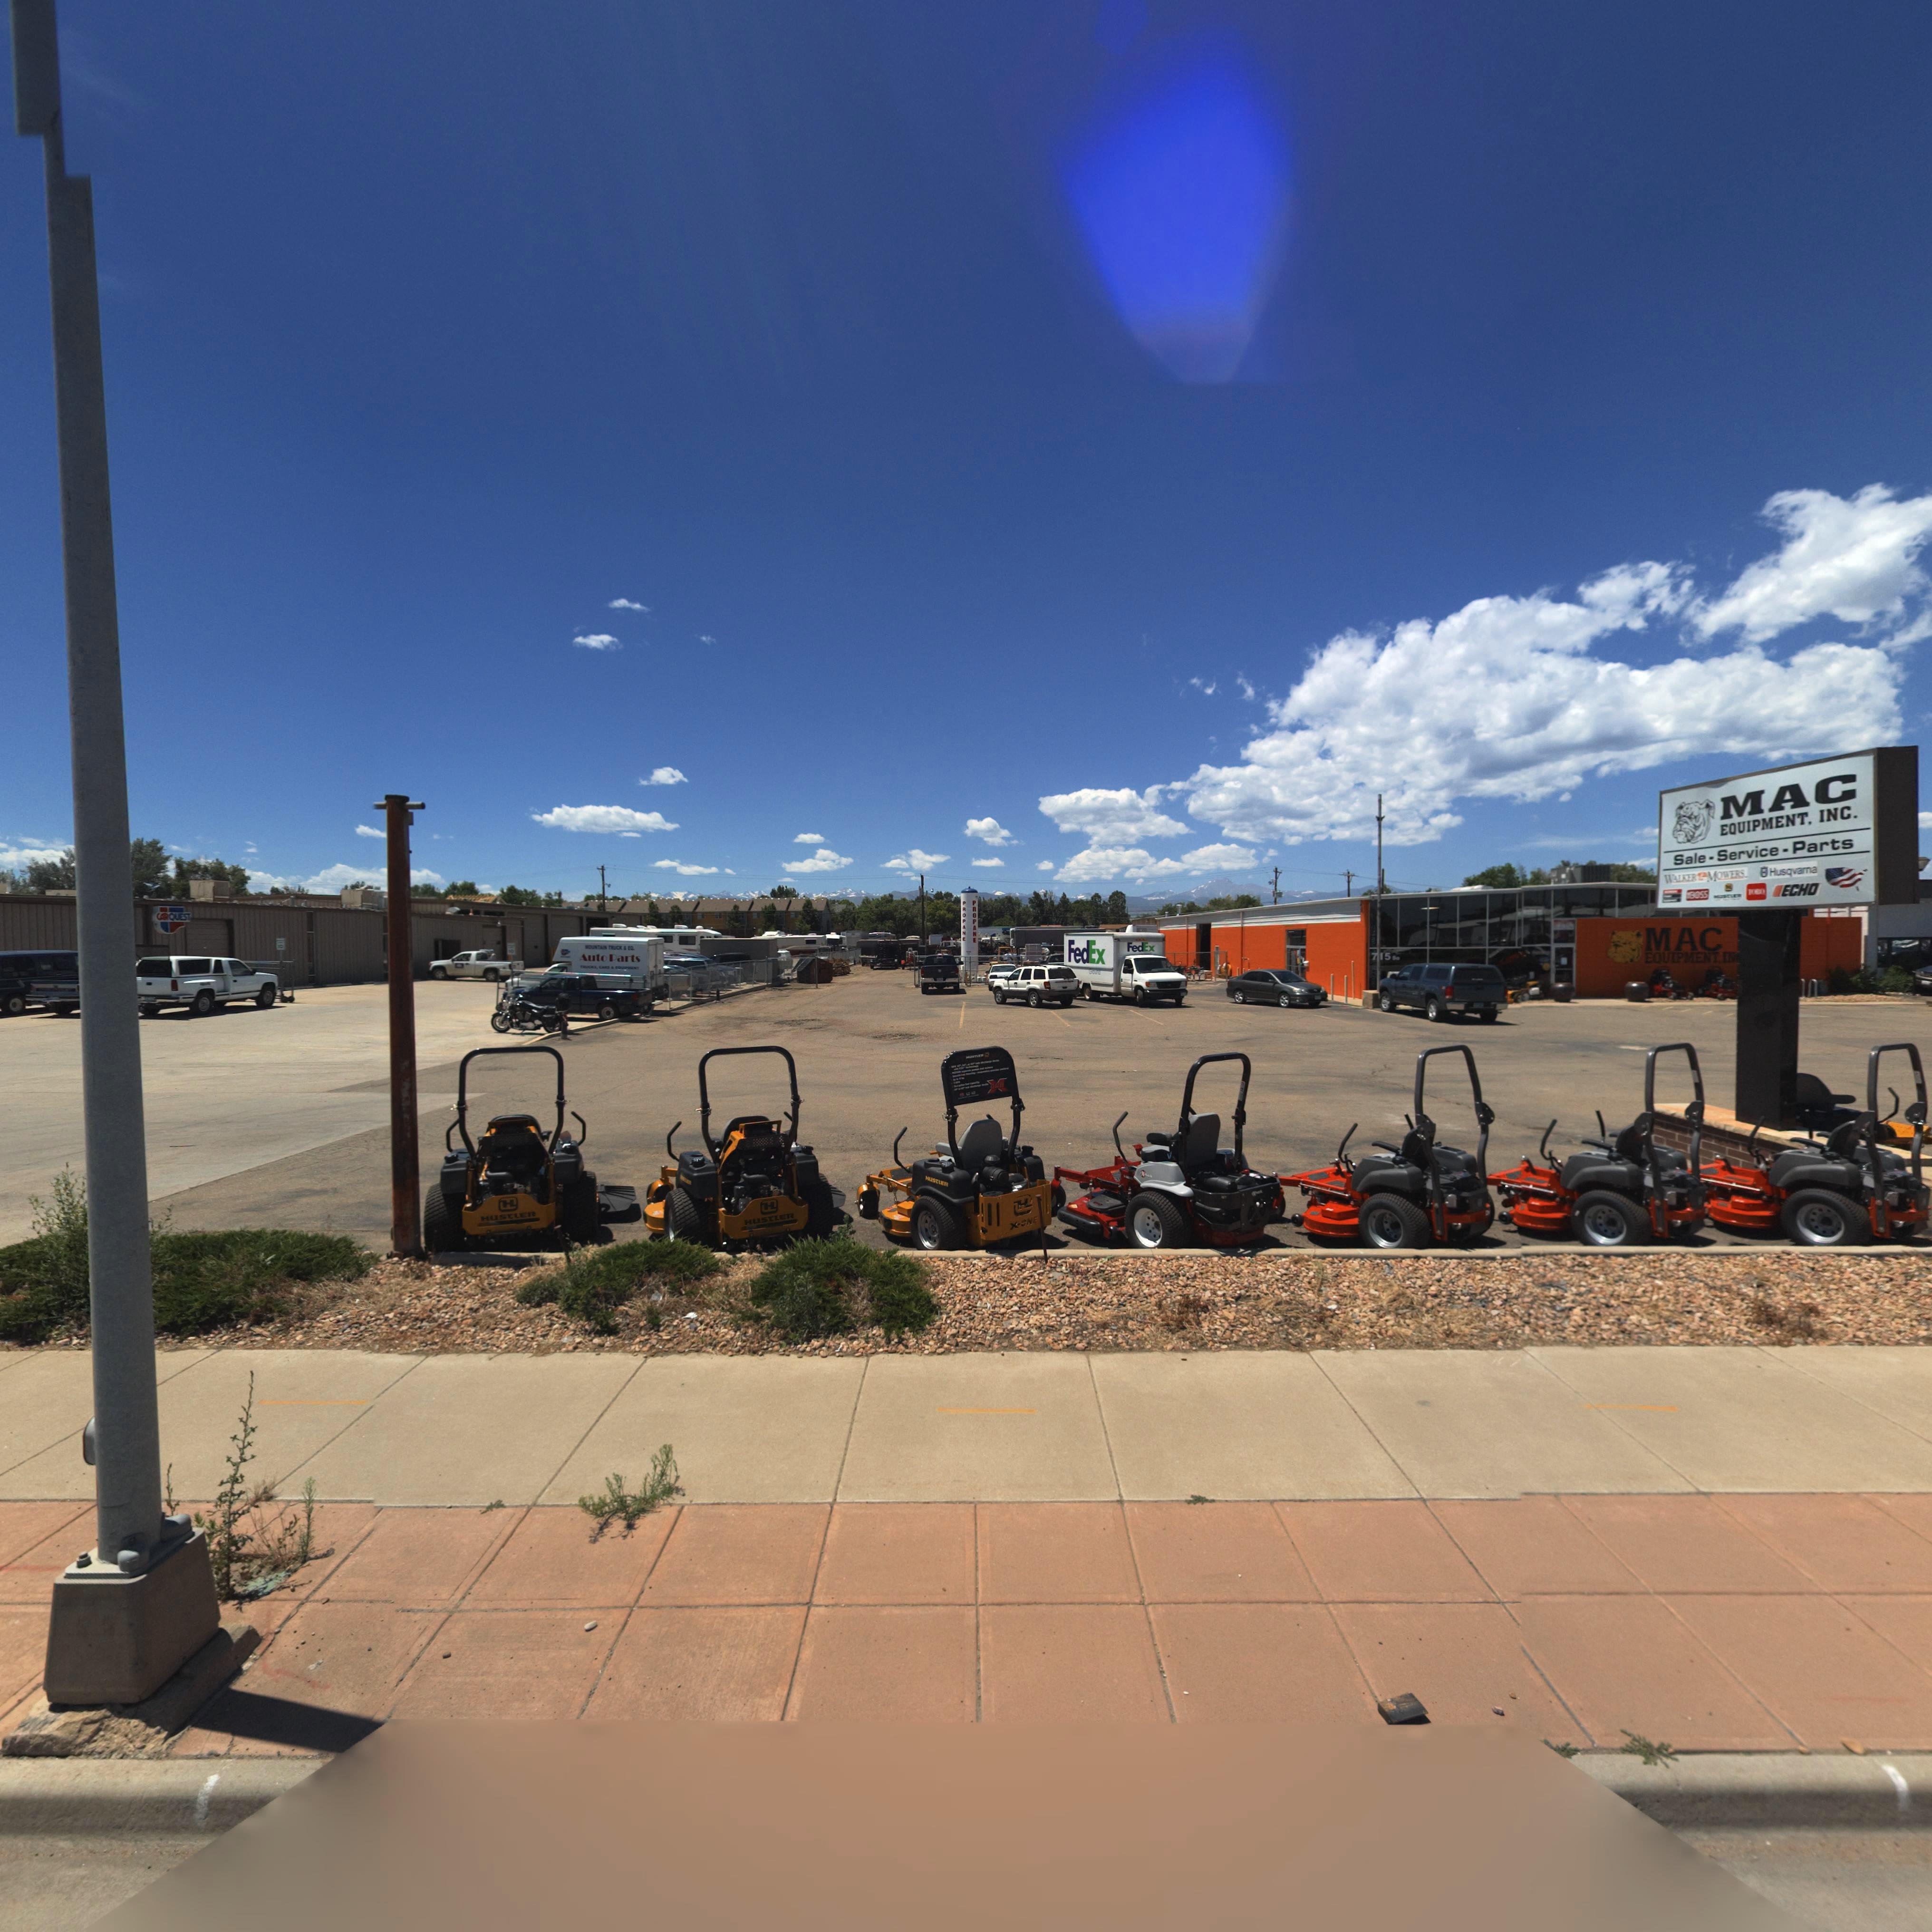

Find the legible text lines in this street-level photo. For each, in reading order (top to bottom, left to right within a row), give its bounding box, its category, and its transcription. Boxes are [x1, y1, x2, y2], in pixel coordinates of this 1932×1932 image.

[1719, 773, 1857, 821] BusinessName: MAC
[1719, 804, 1858, 837] BusinessName: EQUIPMENT* INC
[155, 911, 192, 921] BusinessName: CARQUEST
[1643, 926, 1723, 952] BusinessName: MAC
[1371, 952, 1391, 961] StreetNumber: *715
[1644, 951, 1737, 964] BusinessName: EQUIPMENT* IN